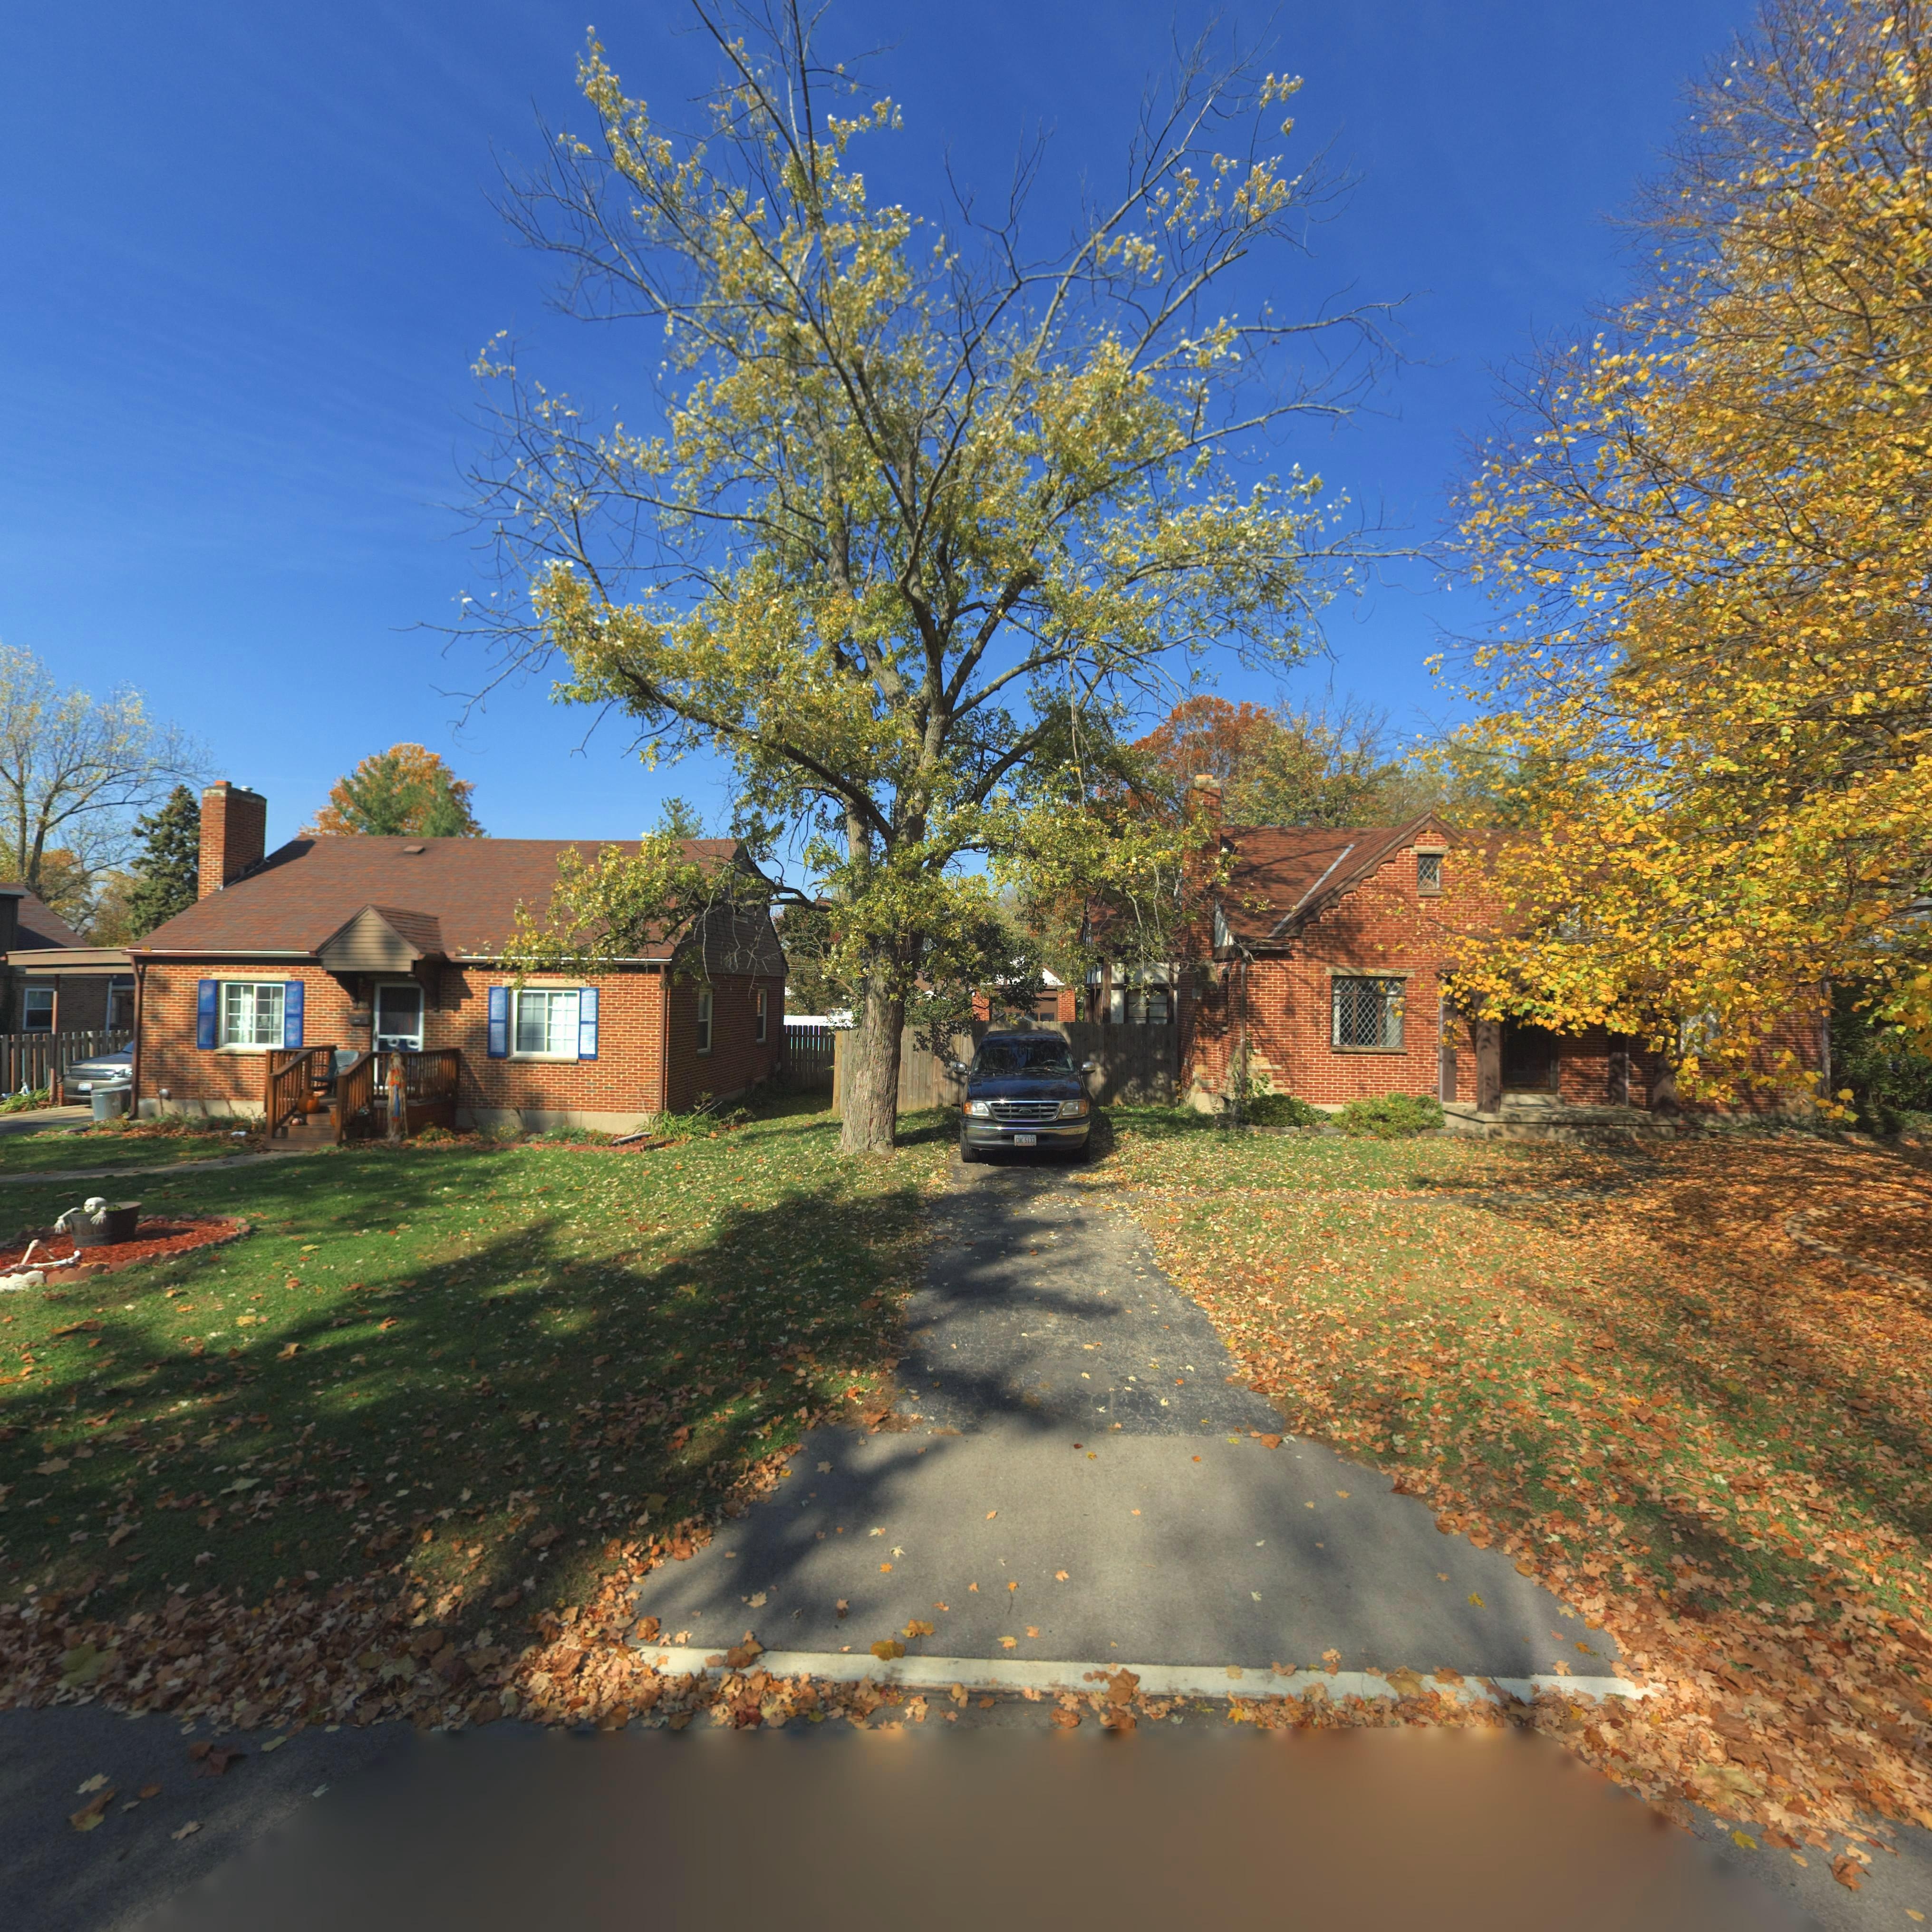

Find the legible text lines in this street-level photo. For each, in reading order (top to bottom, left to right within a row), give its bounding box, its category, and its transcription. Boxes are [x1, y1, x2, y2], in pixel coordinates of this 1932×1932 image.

[1016, 1138, 1035, 1143] None: C*C*5133